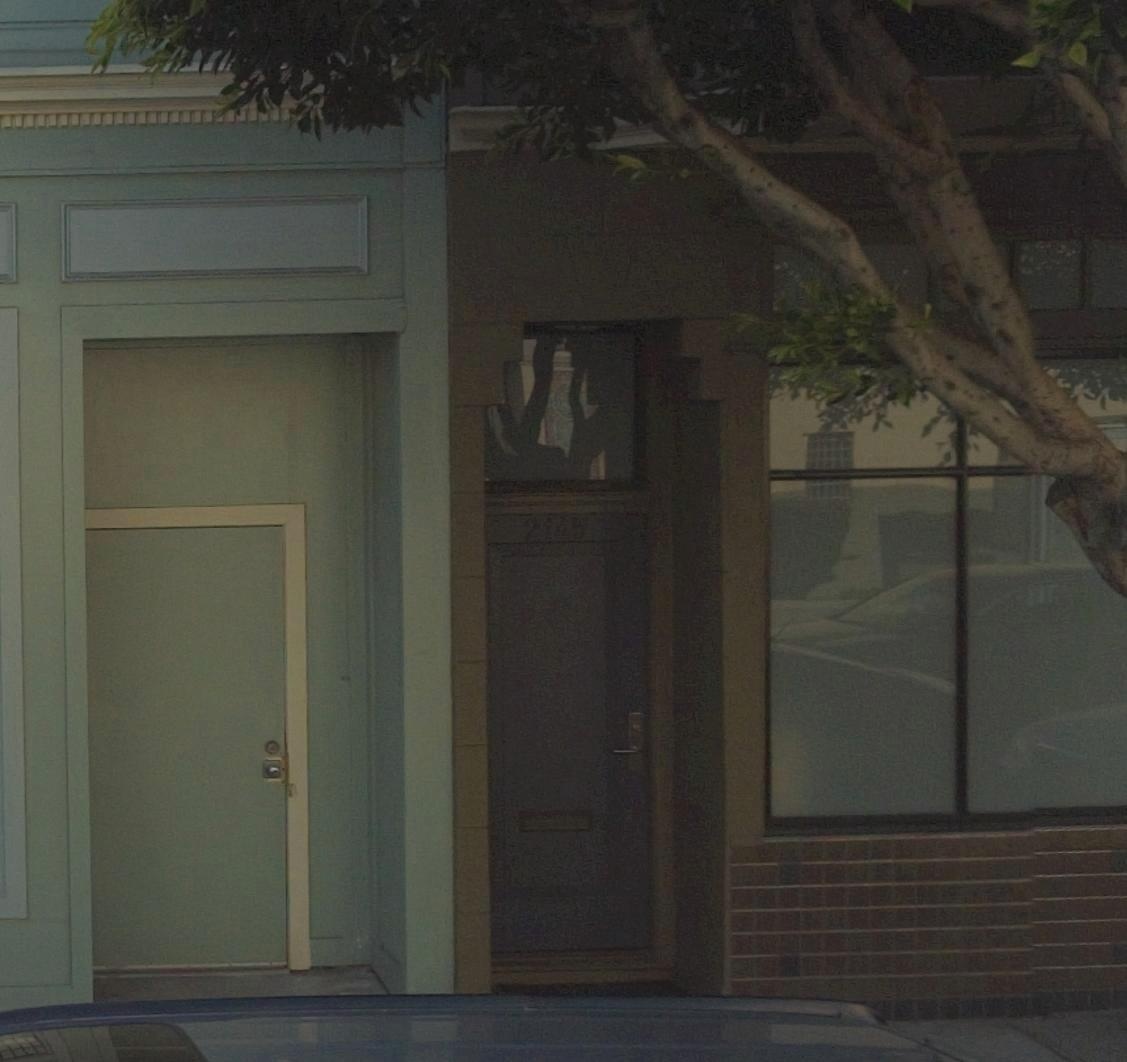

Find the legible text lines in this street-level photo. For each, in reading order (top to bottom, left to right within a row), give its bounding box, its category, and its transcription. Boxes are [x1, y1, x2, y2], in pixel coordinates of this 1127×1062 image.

[519, 515, 590, 545] StreetNumber: 2145